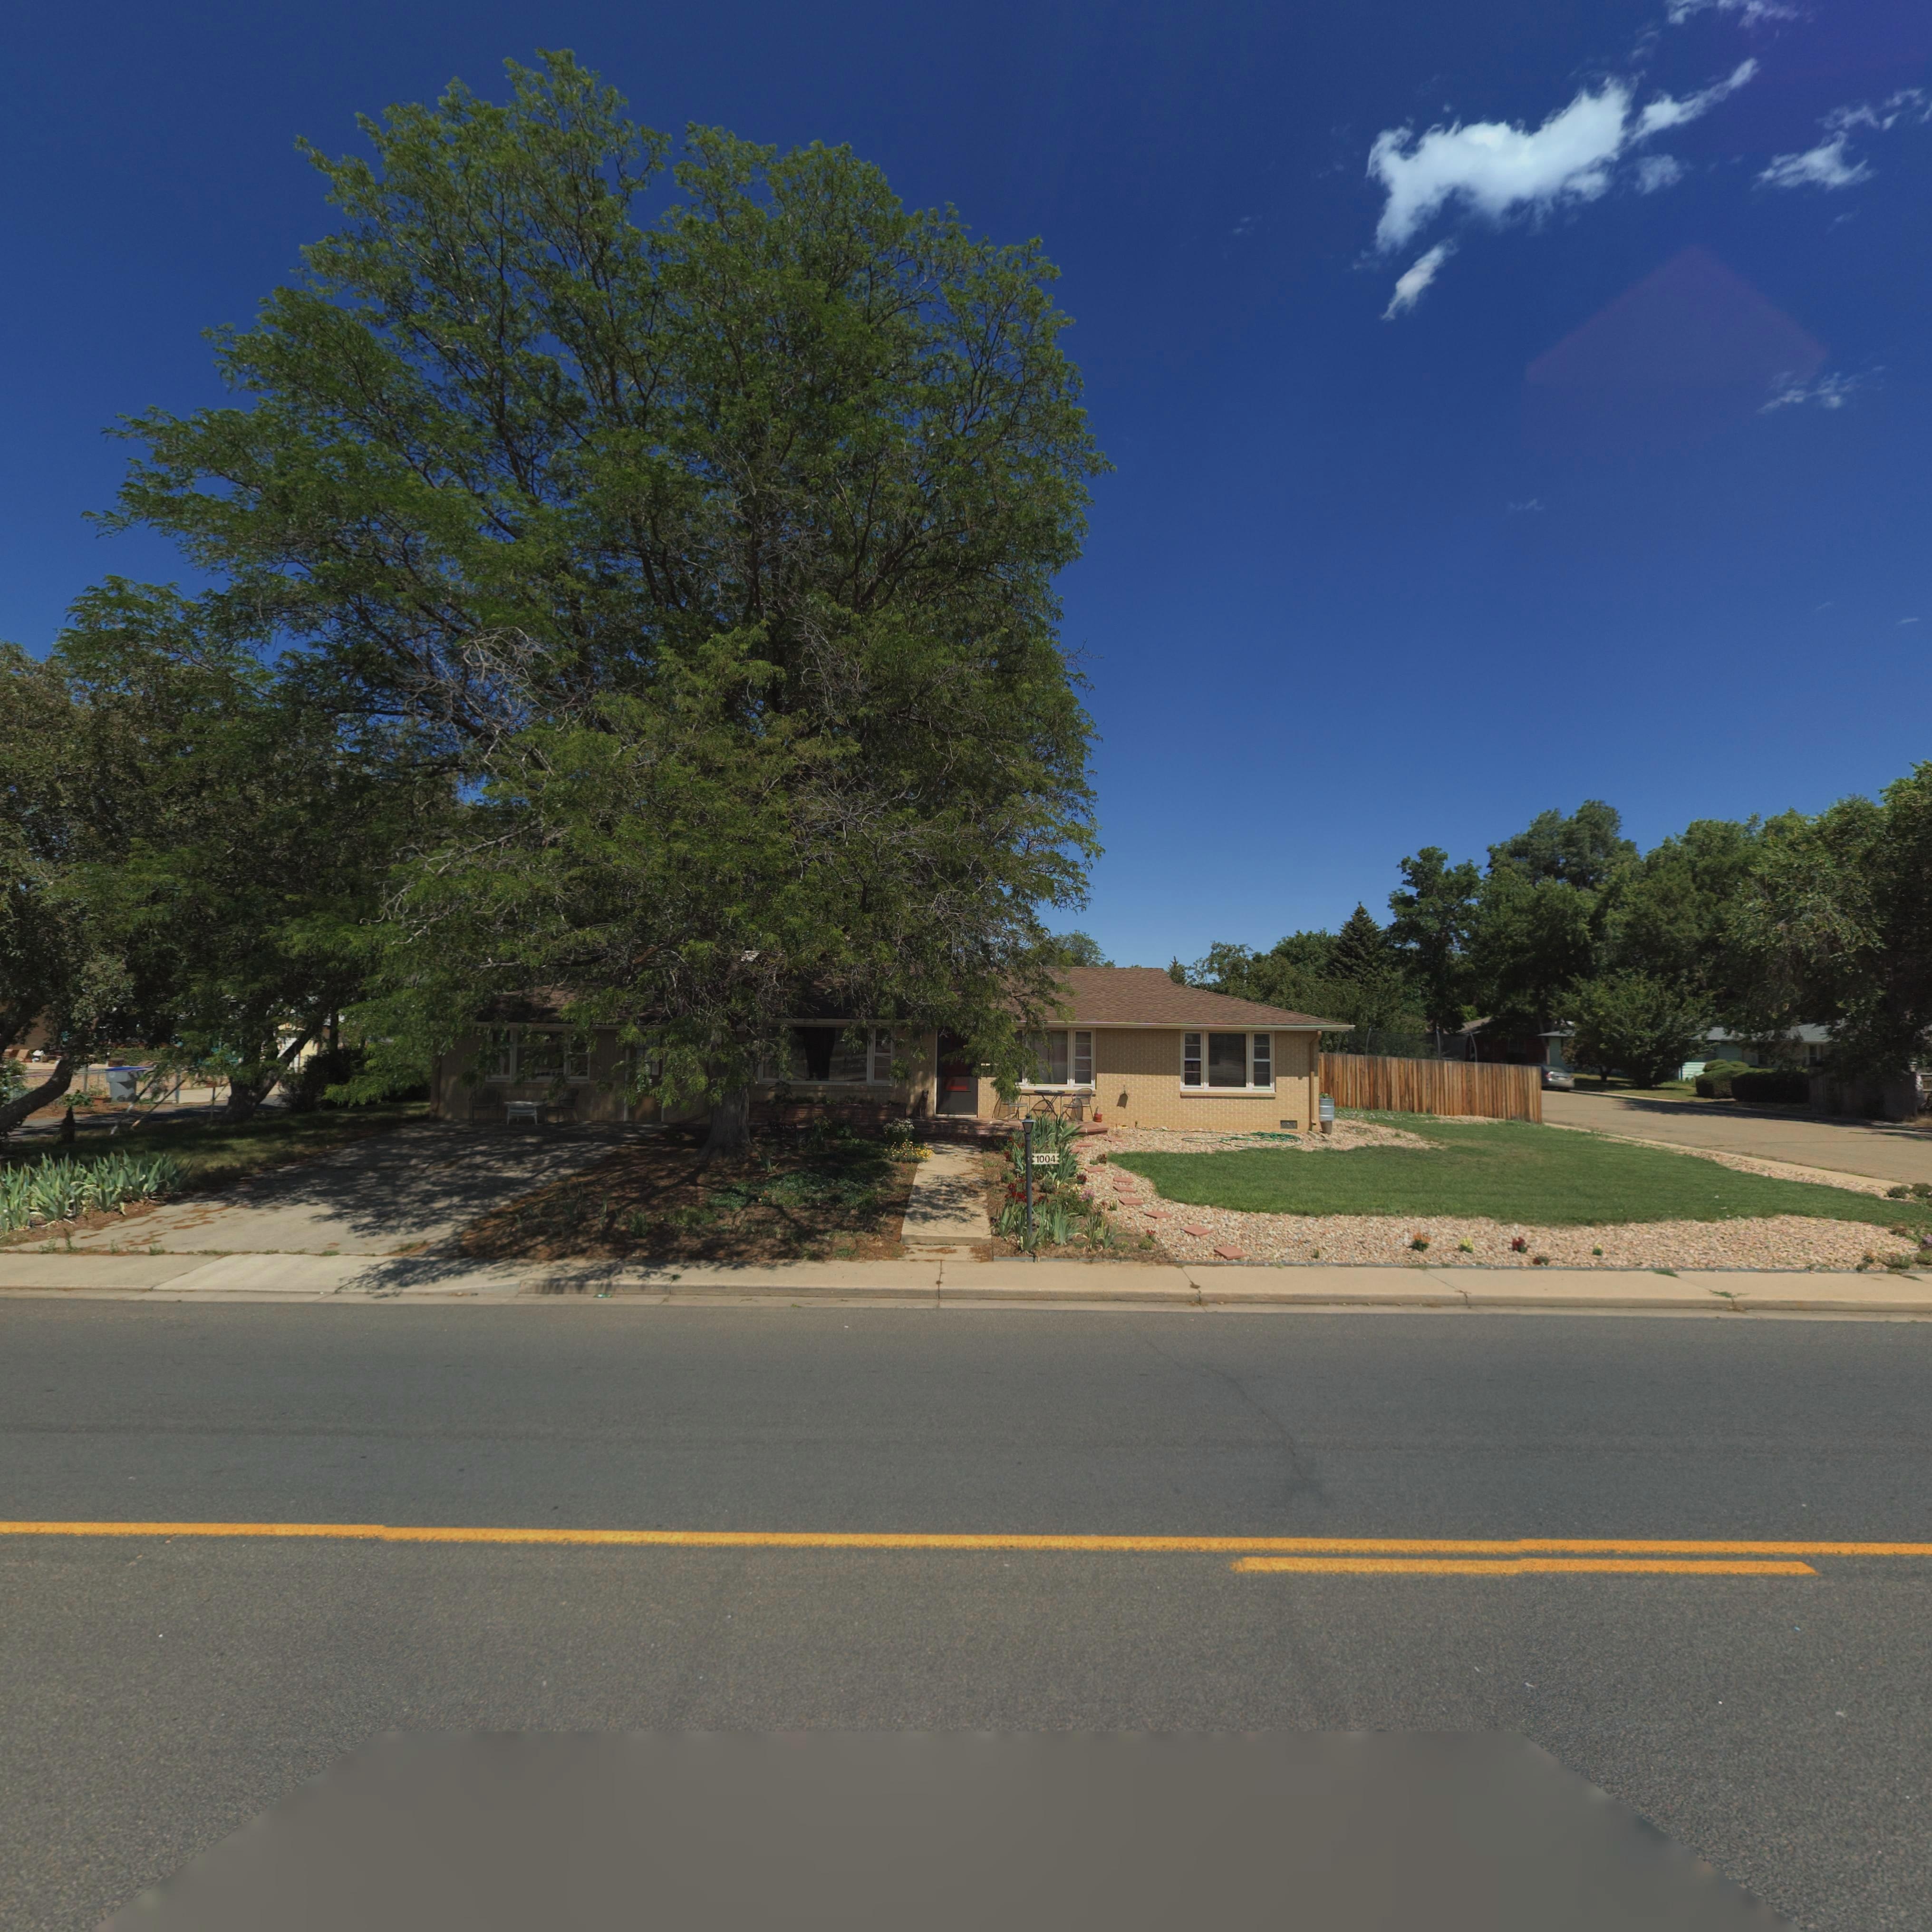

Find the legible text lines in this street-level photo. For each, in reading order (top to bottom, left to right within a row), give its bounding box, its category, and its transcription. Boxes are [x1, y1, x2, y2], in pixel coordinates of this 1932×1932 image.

[1035, 1154, 1056, 1163] StreetNumber: 1004